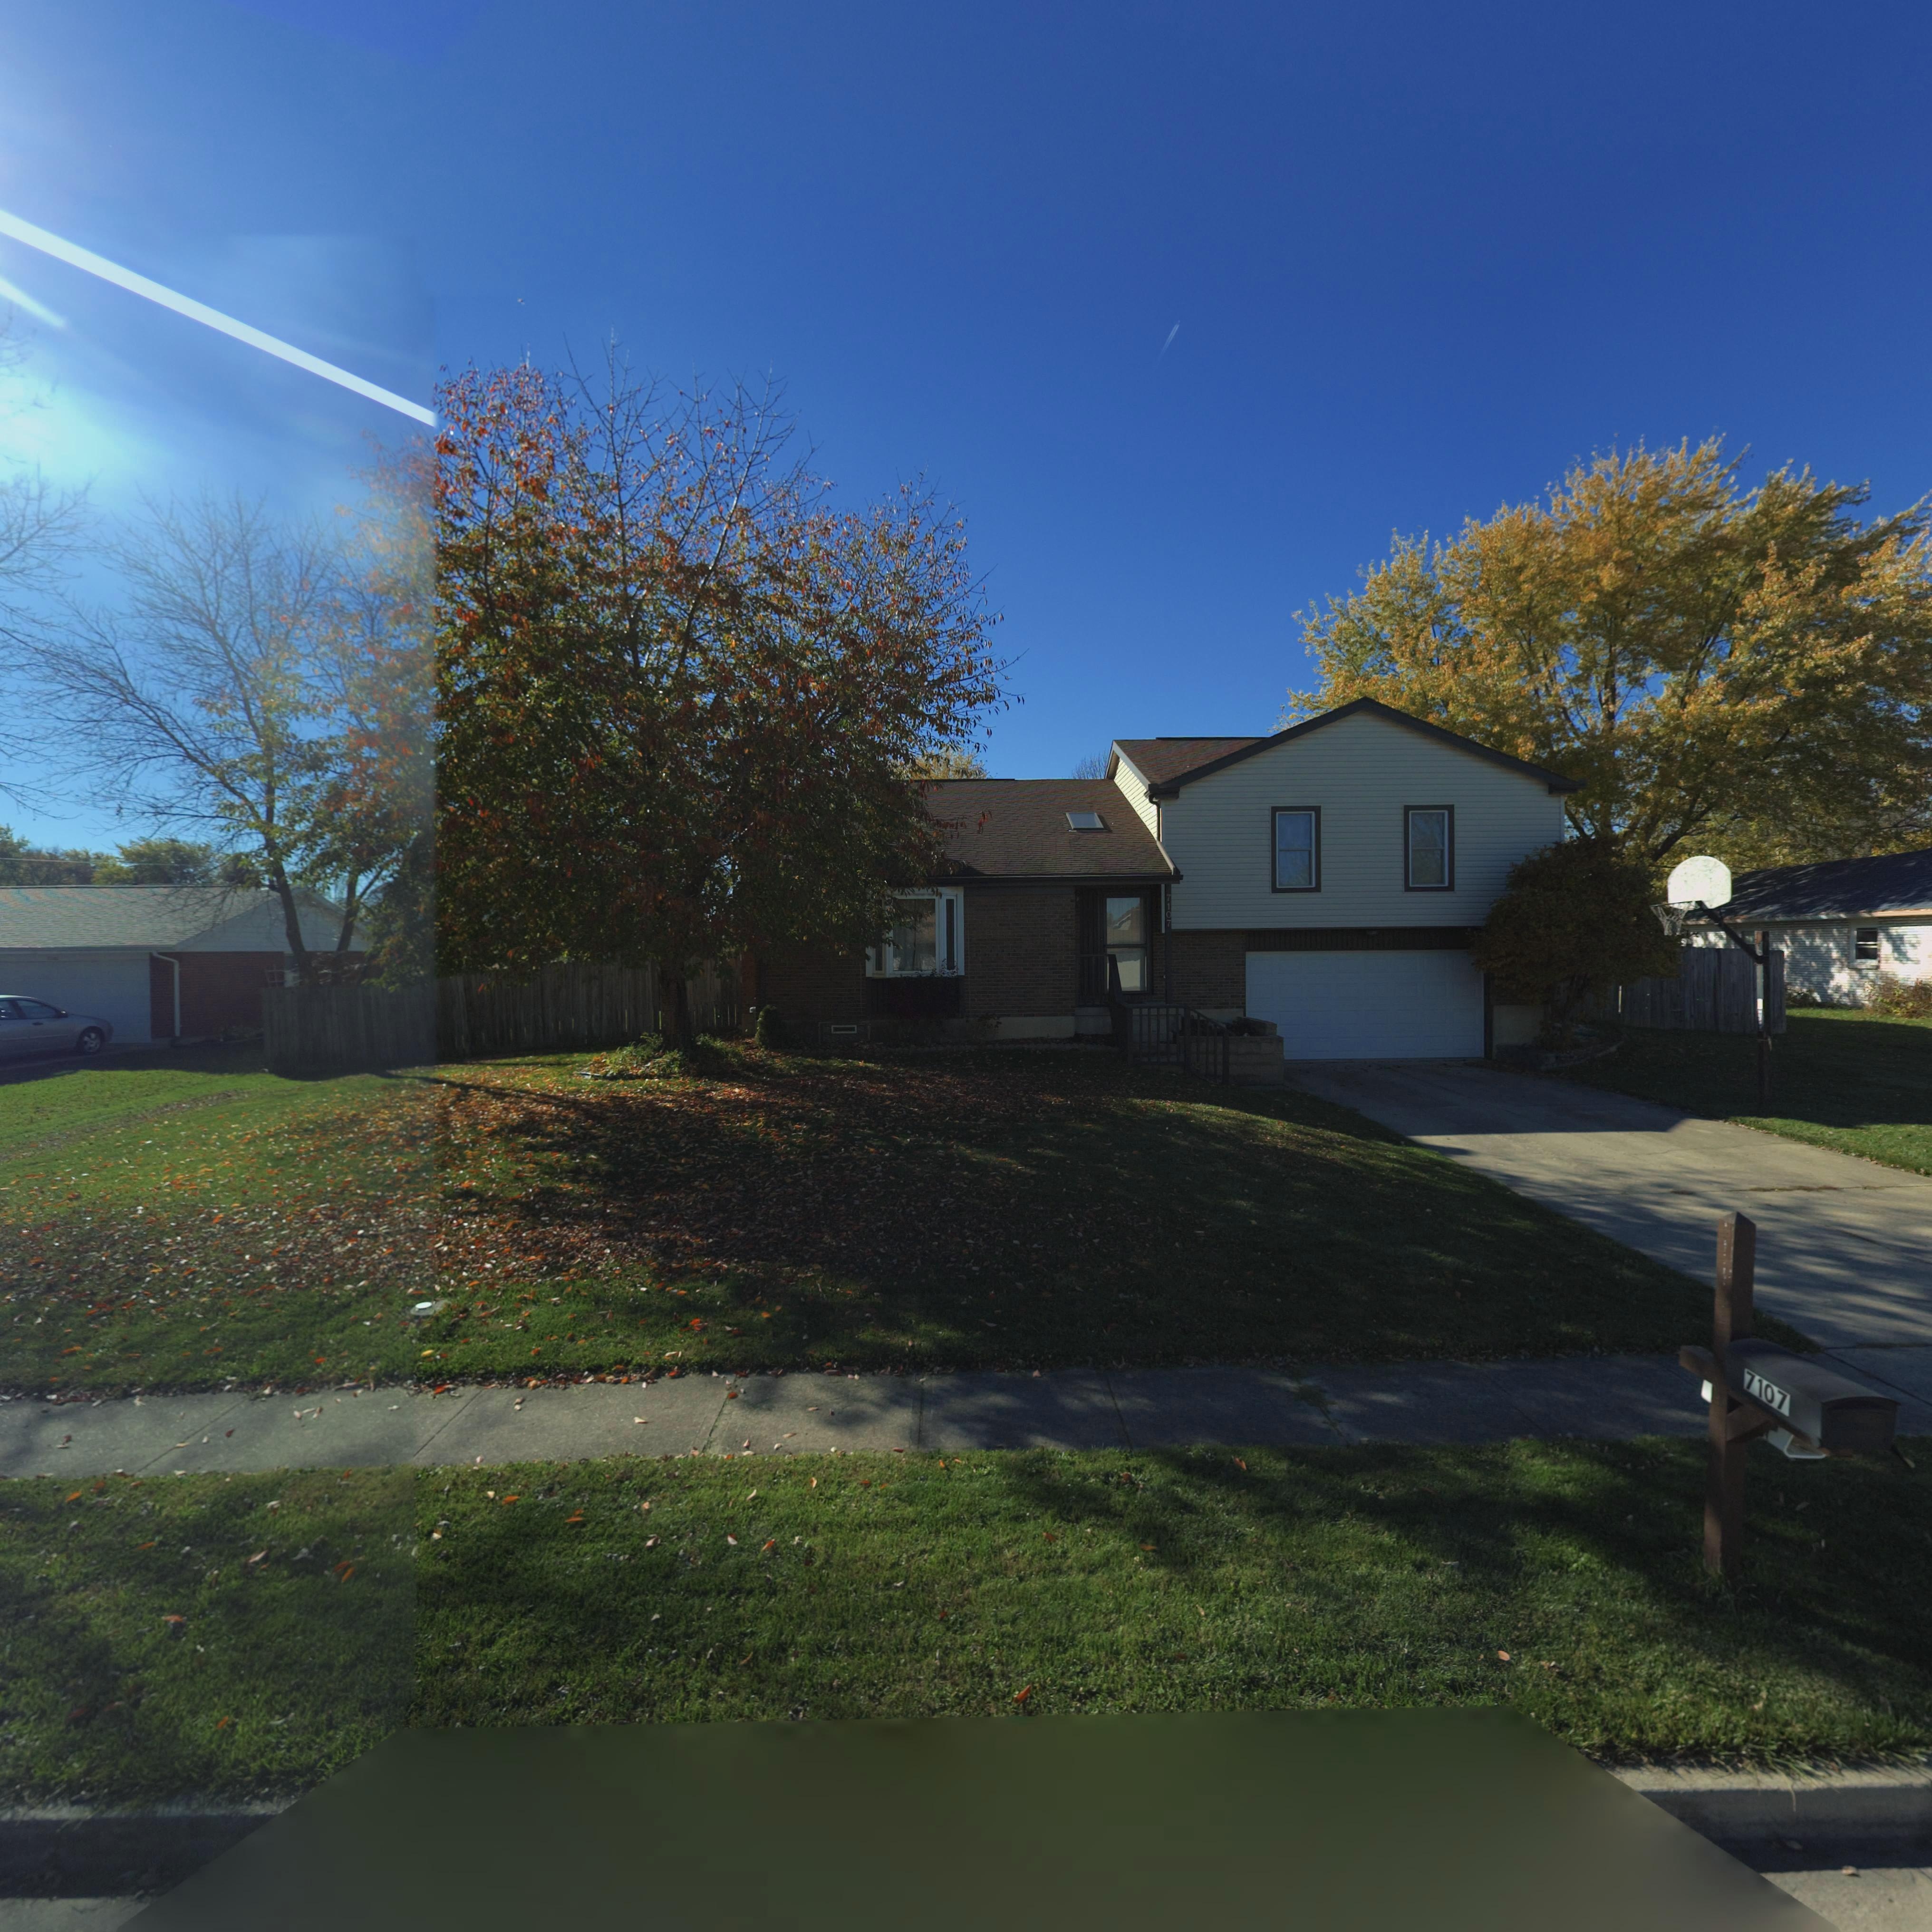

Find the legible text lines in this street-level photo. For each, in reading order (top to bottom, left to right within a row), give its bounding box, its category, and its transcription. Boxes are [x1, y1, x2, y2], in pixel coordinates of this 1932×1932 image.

[1165, 893, 1173, 928] StreetNumber: 7107
[1744, 1369, 1789, 1412] StreetNumber: 7107